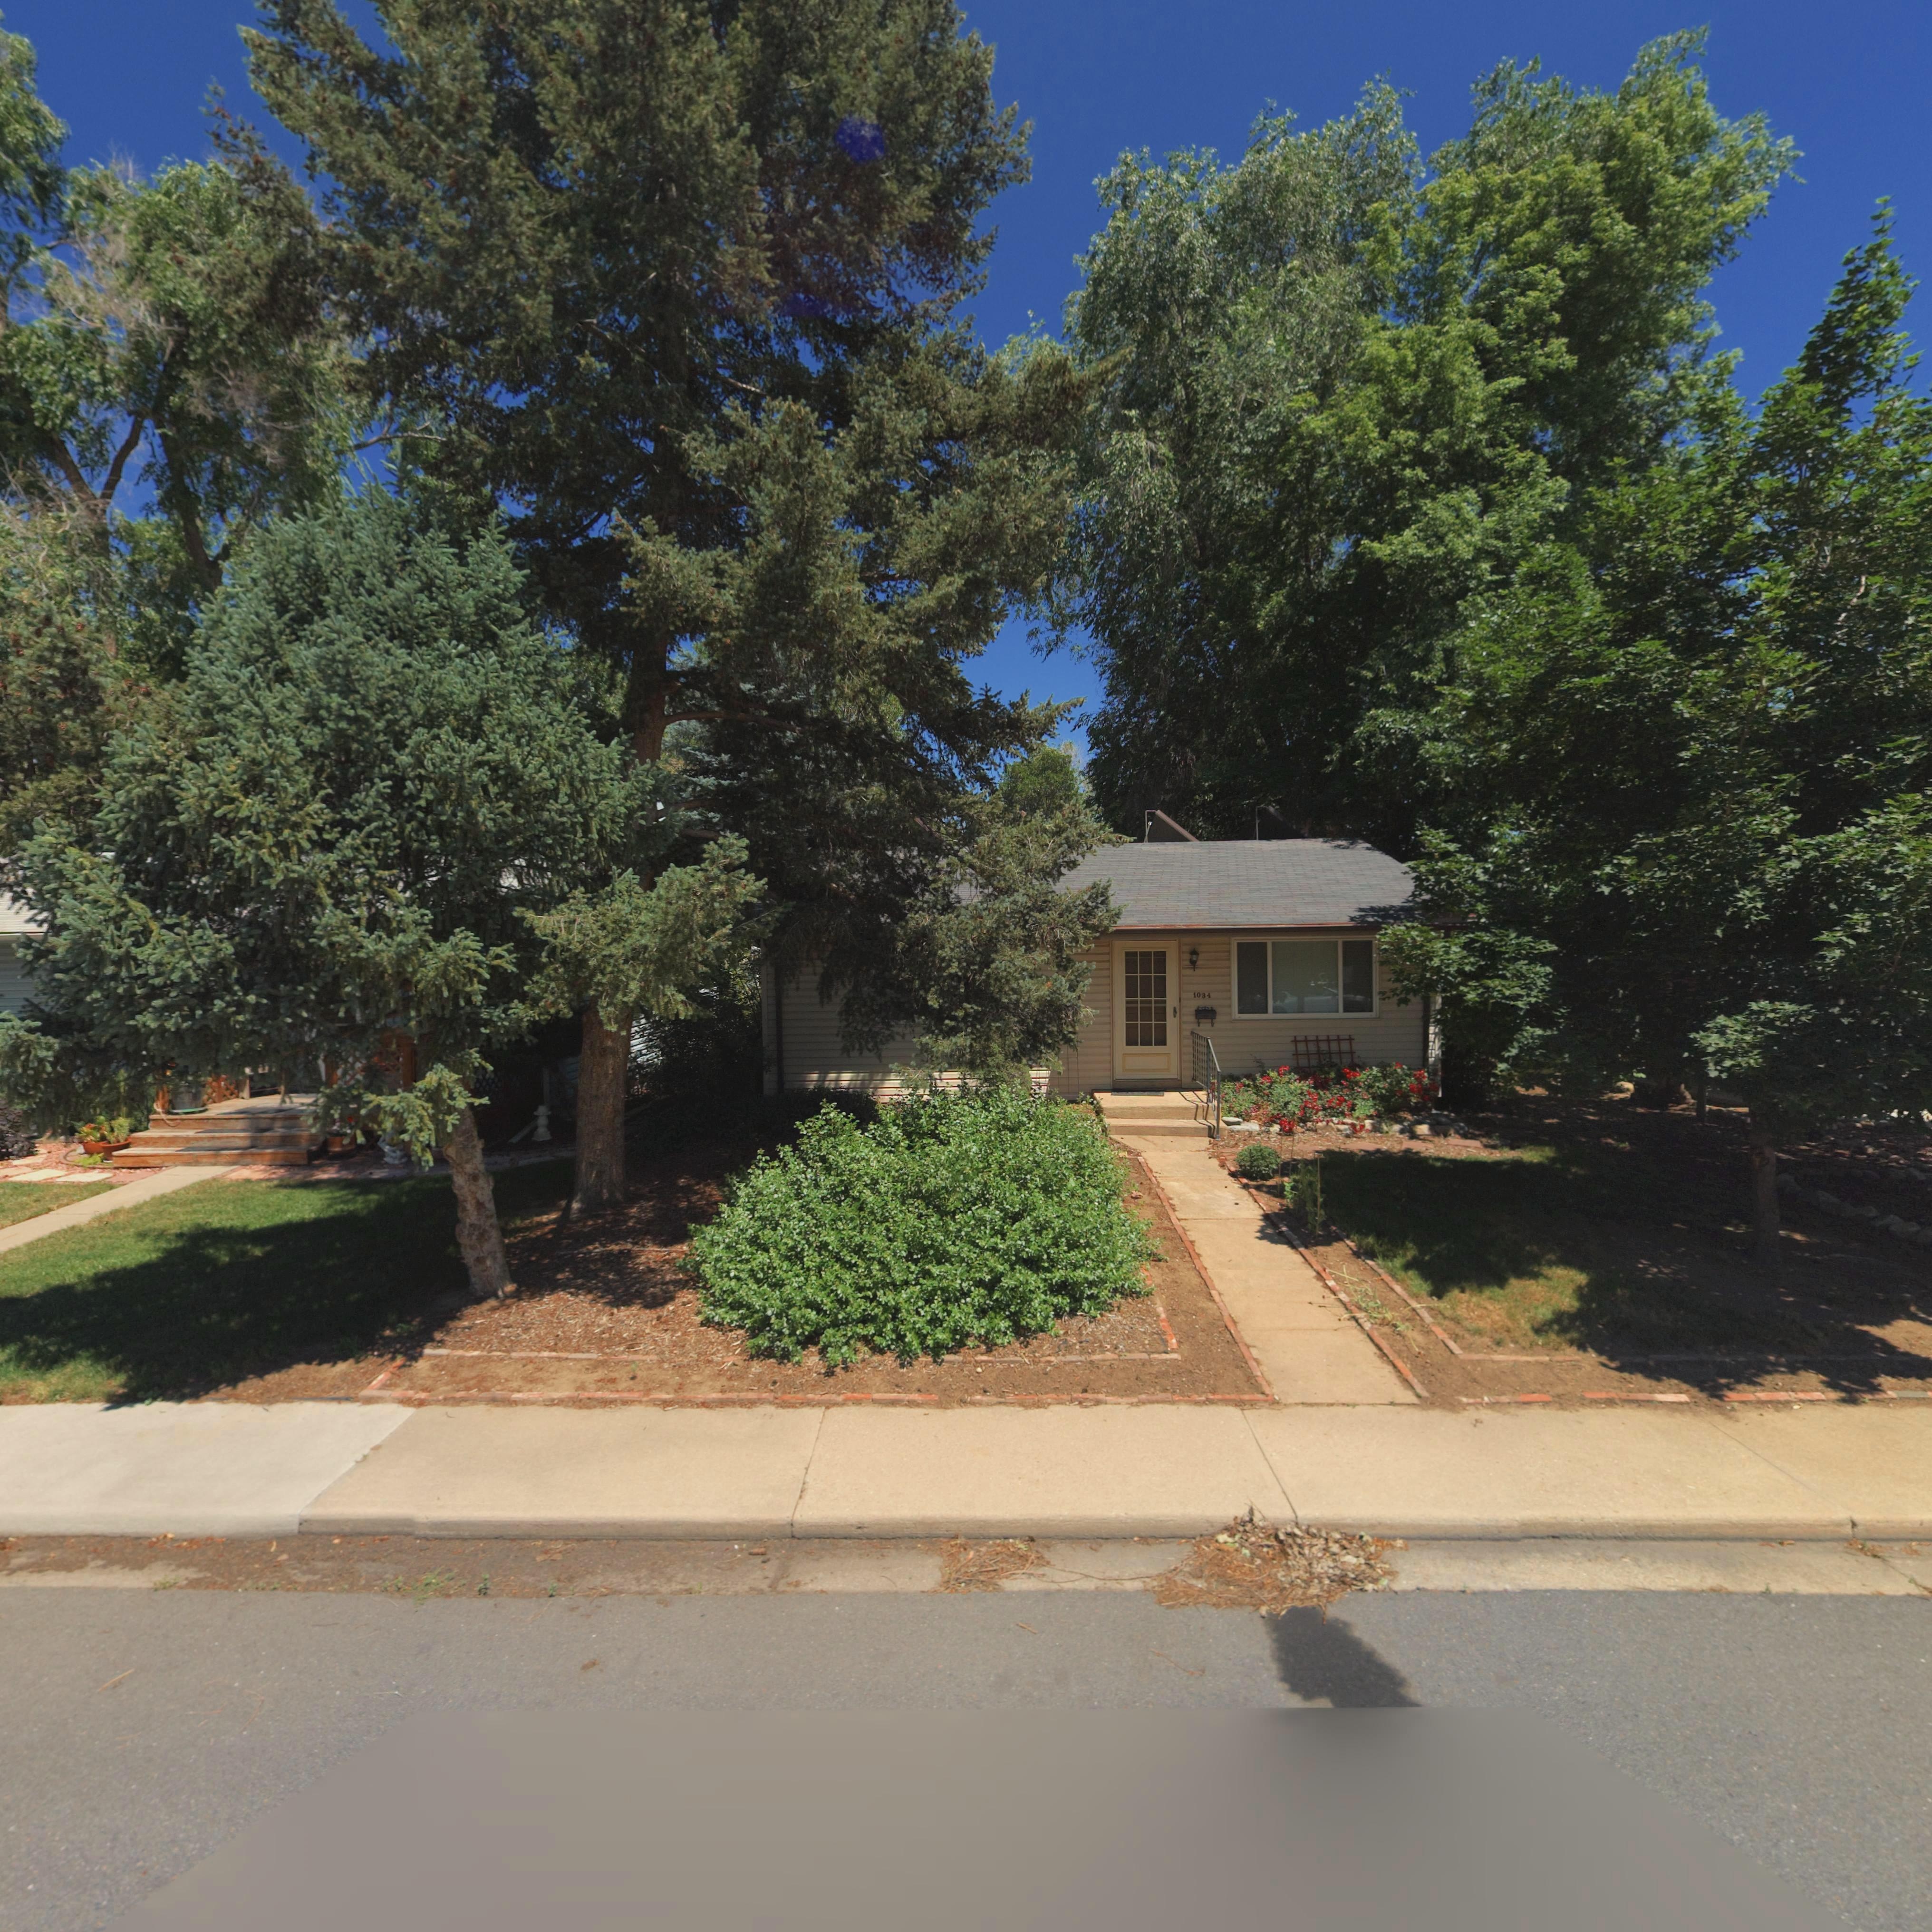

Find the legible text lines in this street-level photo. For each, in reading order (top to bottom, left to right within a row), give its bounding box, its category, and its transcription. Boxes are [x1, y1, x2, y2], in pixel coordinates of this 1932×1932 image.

[1193, 992, 1211, 998] StreetNumber: 1034